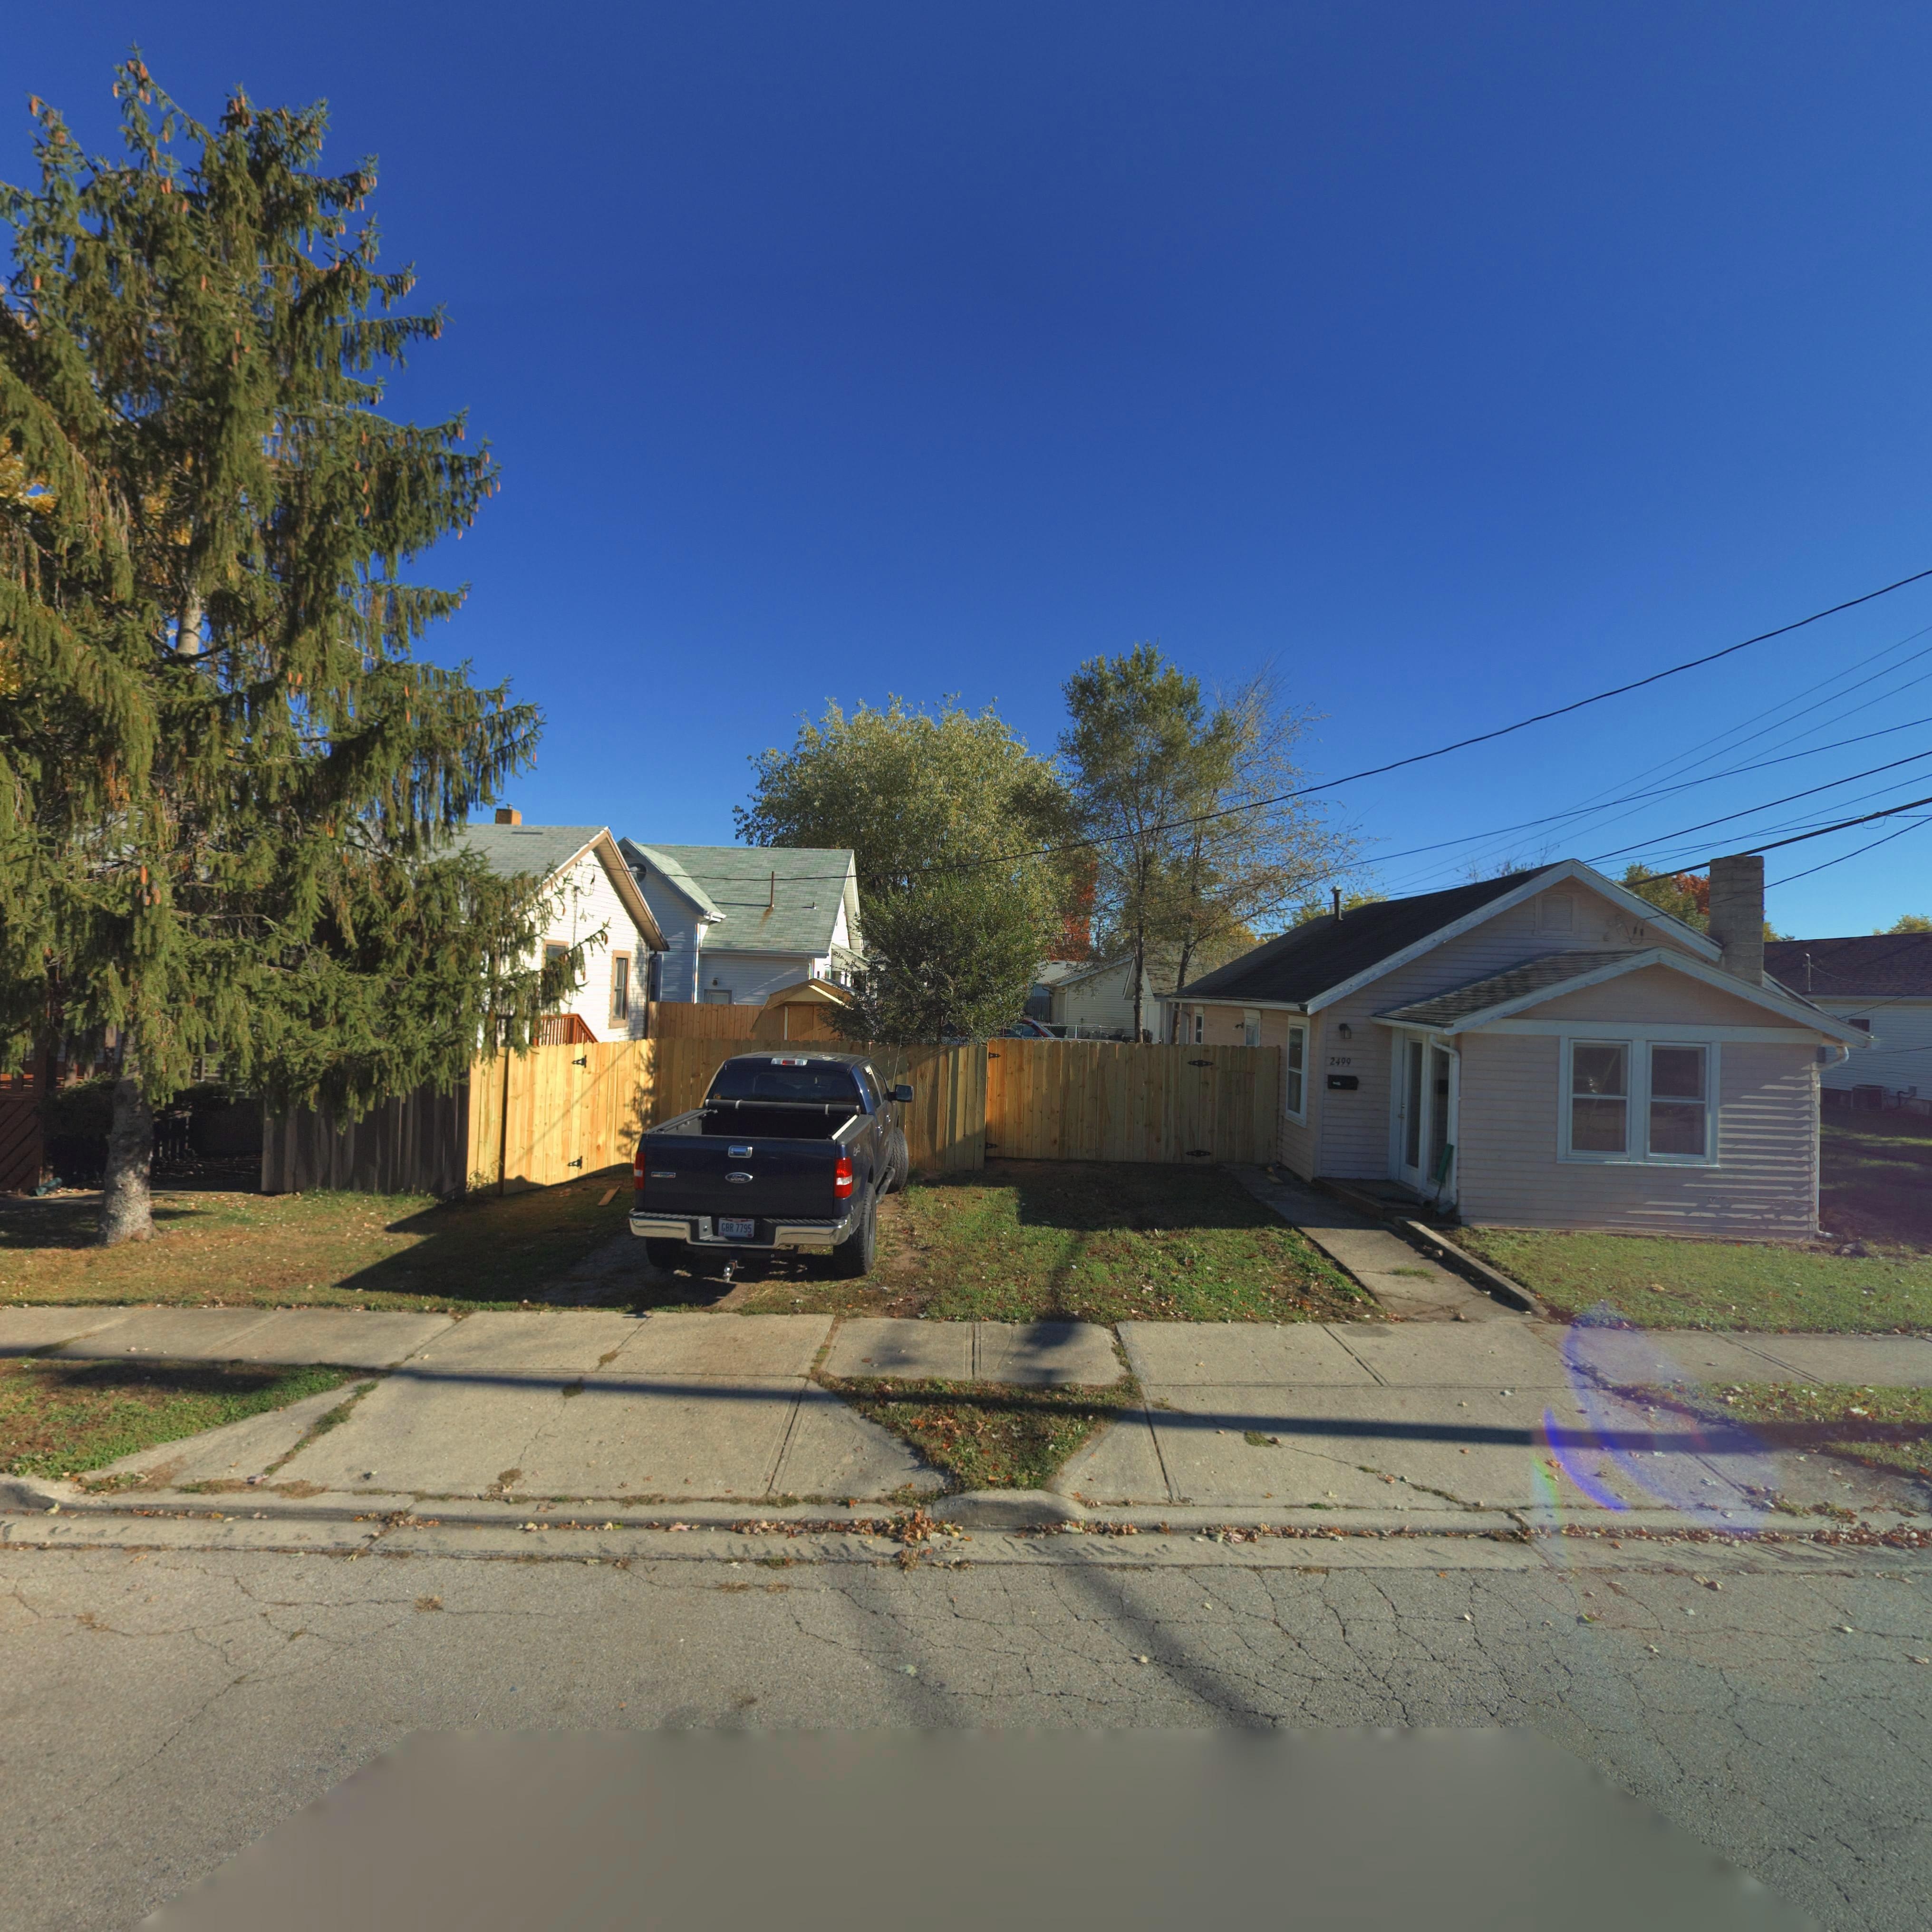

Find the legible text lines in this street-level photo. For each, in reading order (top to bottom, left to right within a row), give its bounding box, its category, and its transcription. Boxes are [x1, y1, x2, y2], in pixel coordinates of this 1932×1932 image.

[1329, 1056, 1352, 1067] StreetNumber: 2499